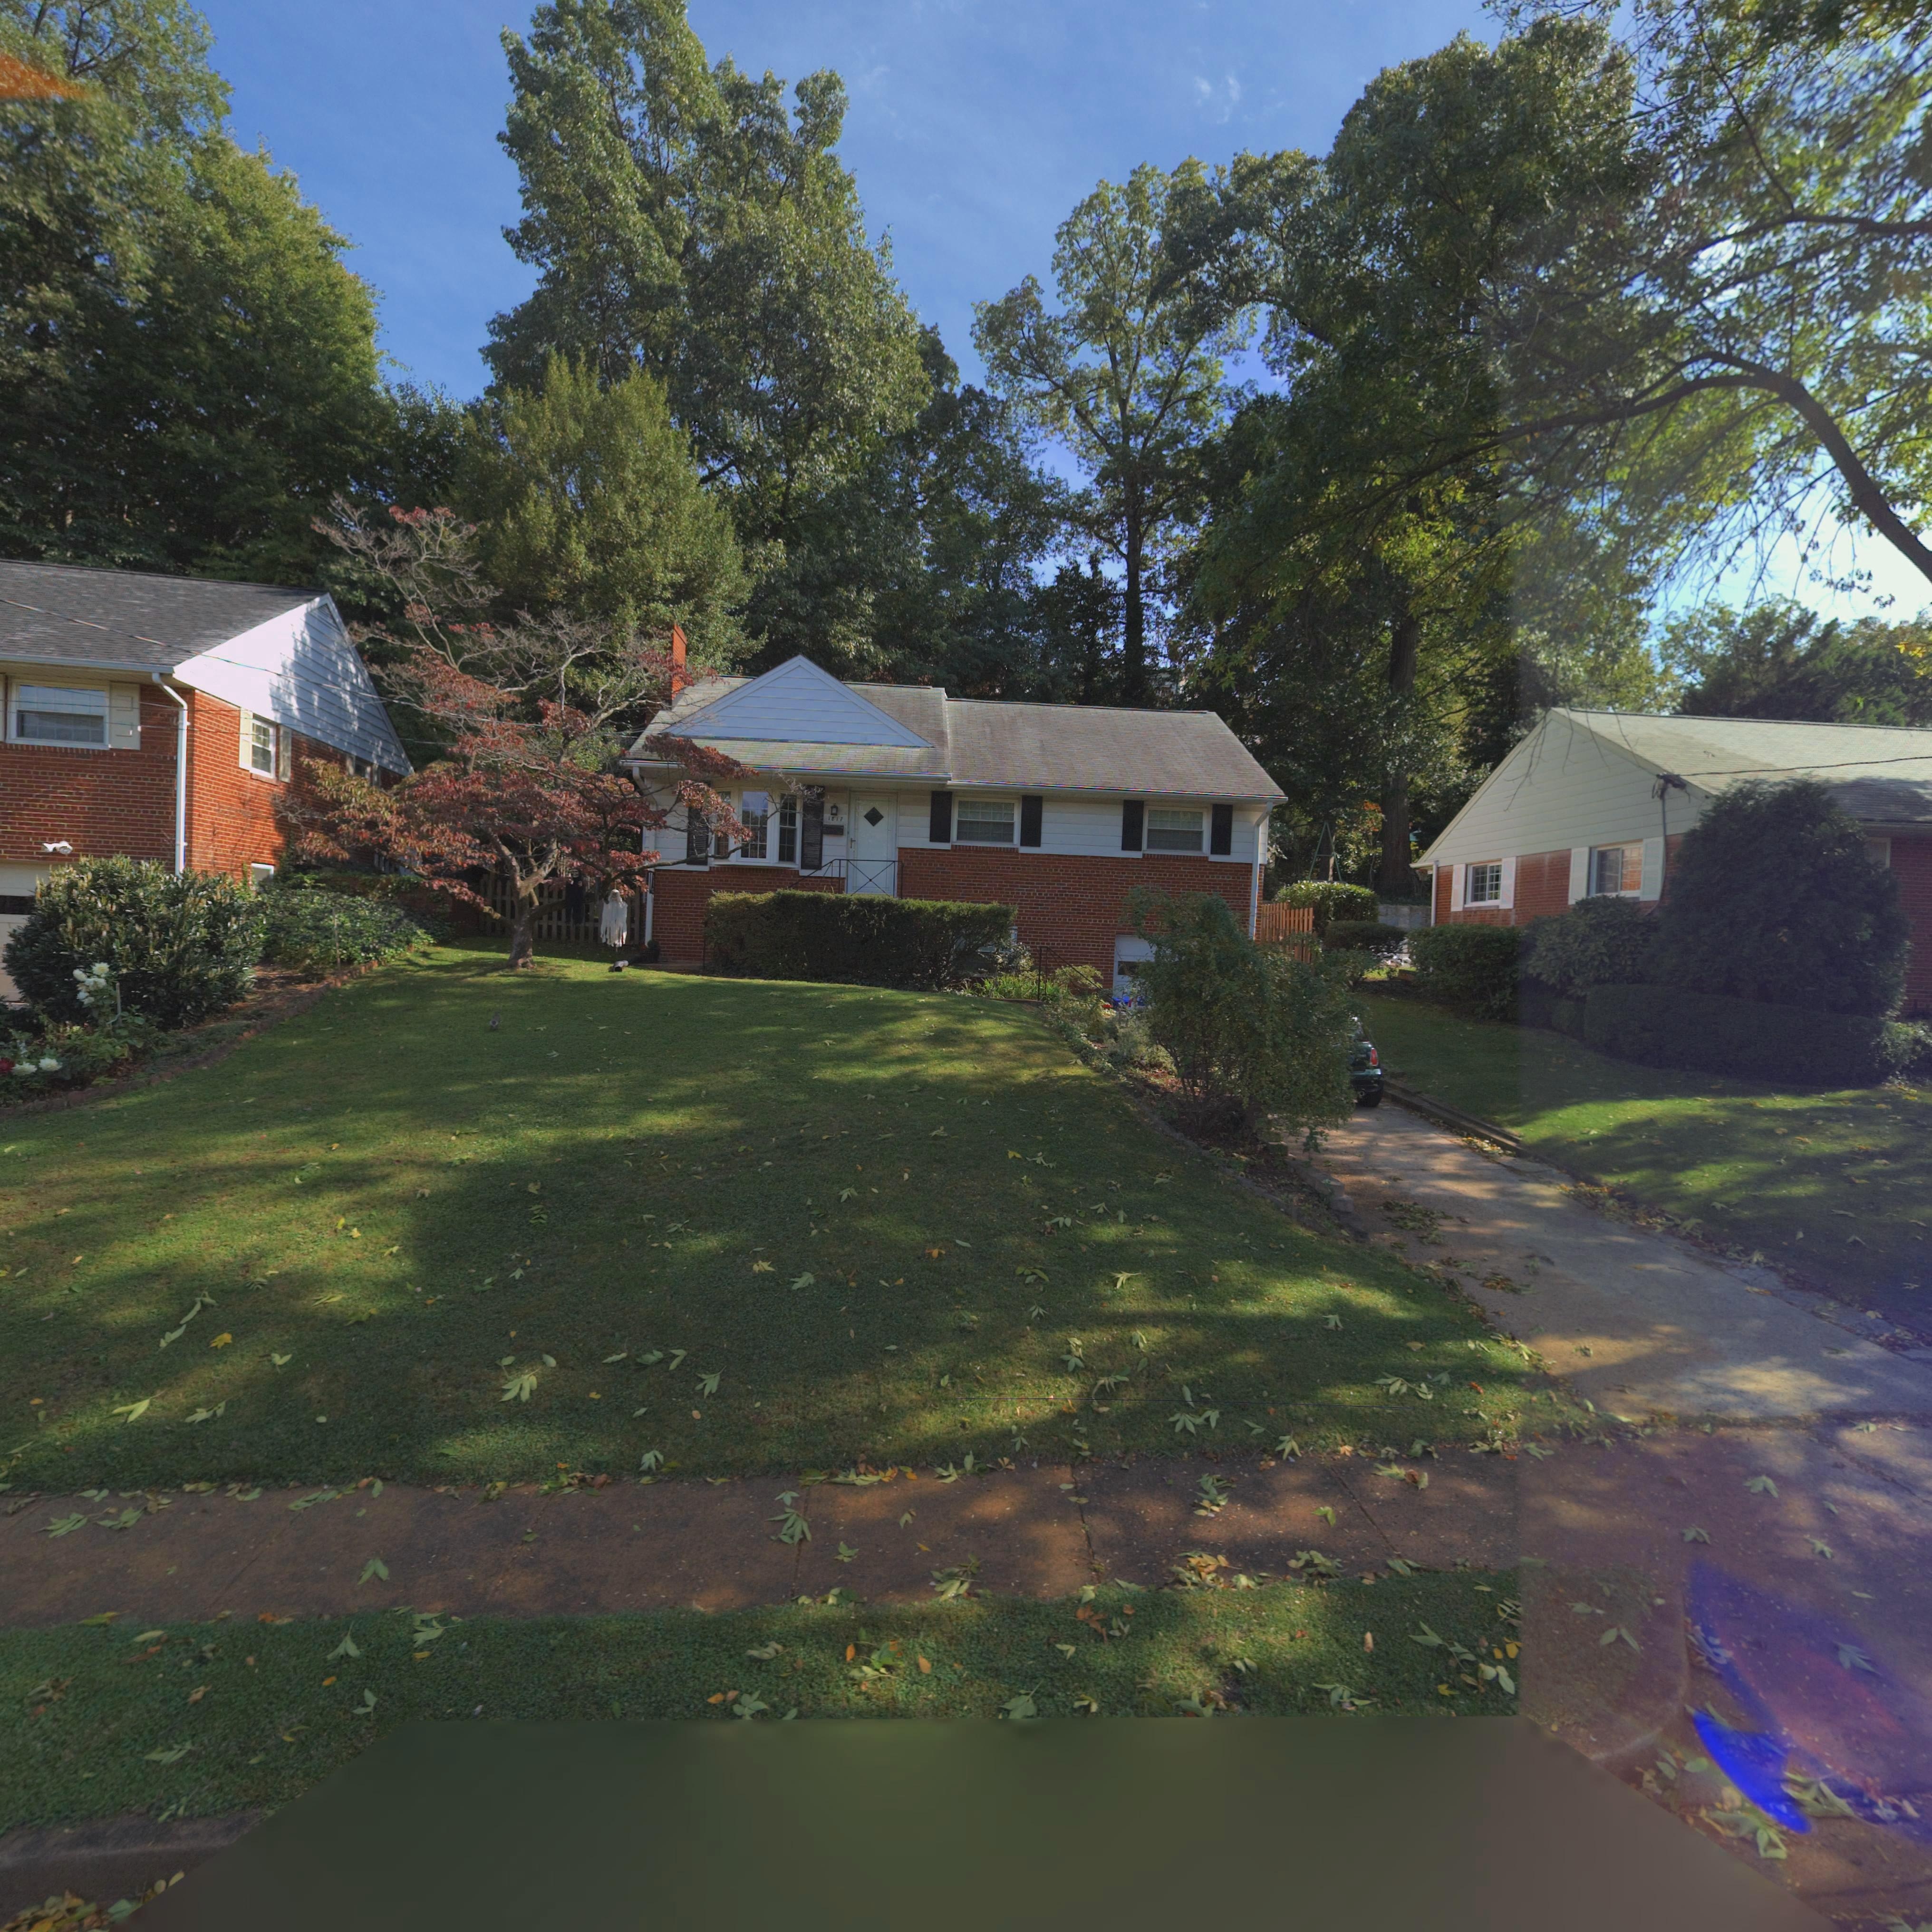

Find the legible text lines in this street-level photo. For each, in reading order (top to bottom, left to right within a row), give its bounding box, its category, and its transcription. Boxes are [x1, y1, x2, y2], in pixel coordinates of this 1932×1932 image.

[828, 815, 844, 822] StreetNumber: 1817